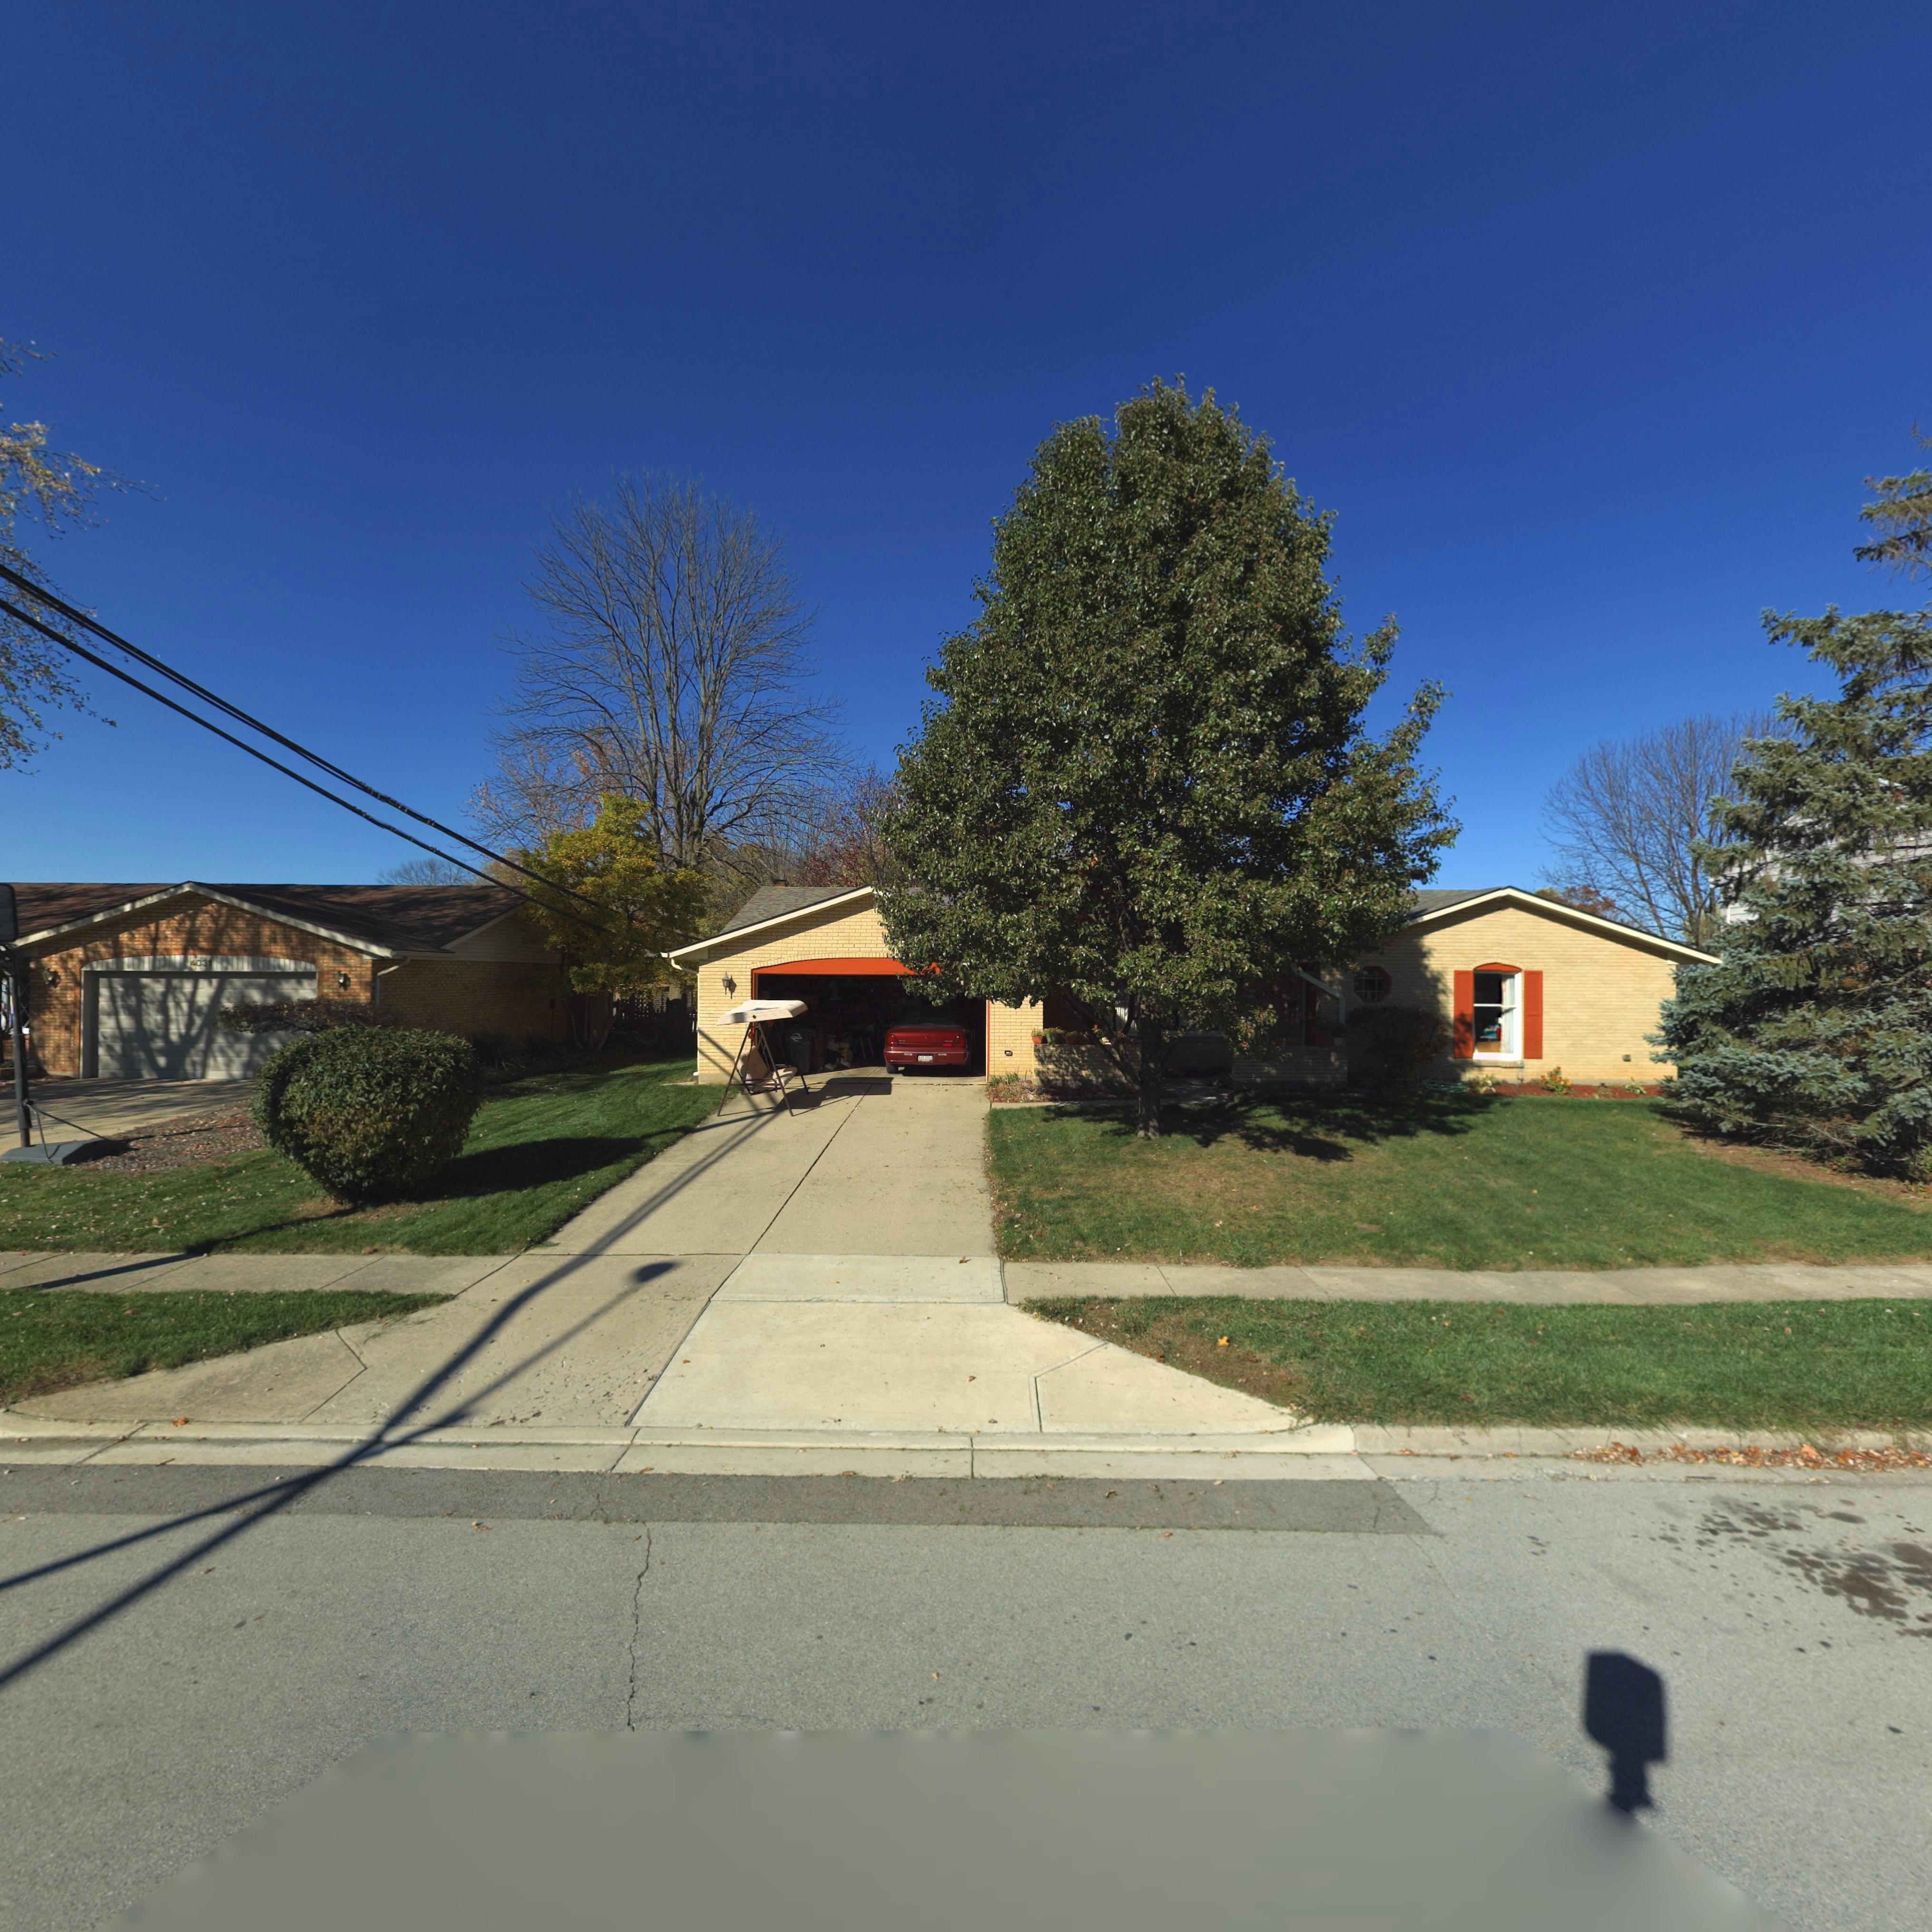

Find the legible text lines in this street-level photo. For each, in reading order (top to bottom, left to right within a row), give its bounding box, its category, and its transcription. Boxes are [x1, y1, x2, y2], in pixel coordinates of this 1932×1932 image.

[190, 959, 212, 967] StreetNumber: 4031
[1253, 989, 1283, 998] StreetNumber: 4033